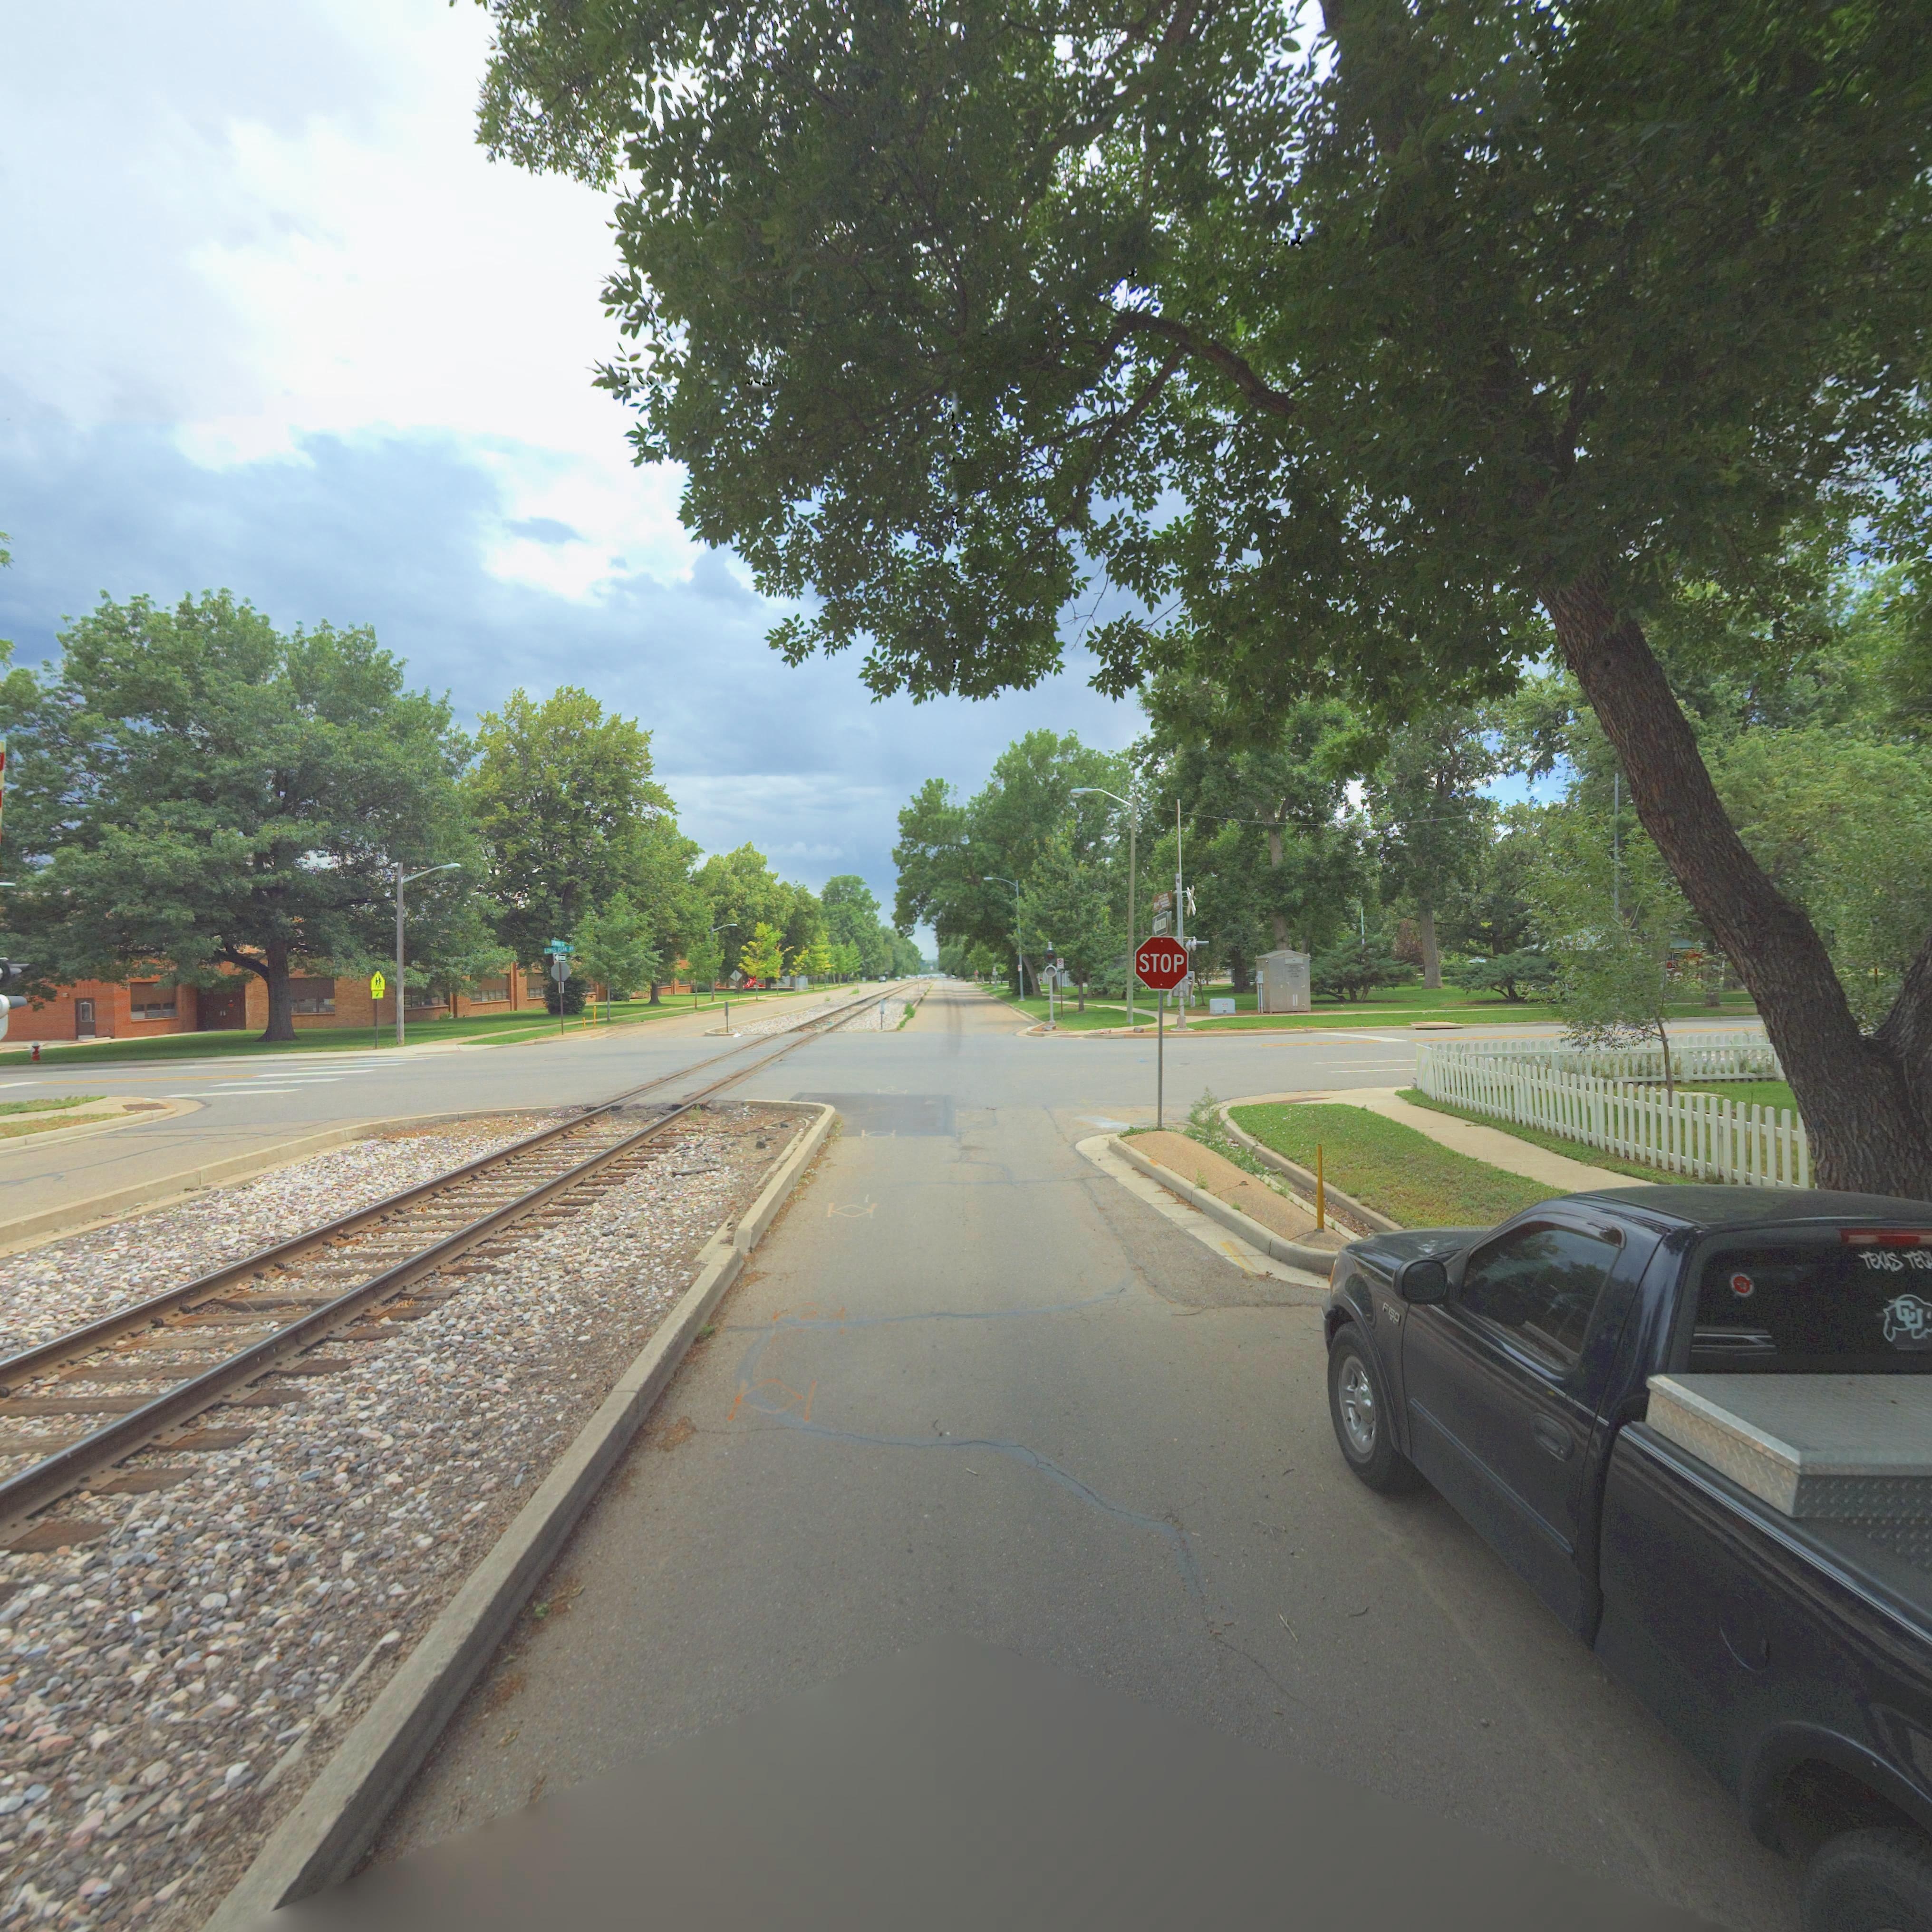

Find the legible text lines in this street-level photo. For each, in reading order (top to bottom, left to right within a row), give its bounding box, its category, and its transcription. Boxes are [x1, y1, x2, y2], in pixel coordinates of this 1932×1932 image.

[544, 946, 574, 954] StreetName: LONGS PEAK AV
[1139, 954, 1183, 972] BusinessName: STOP